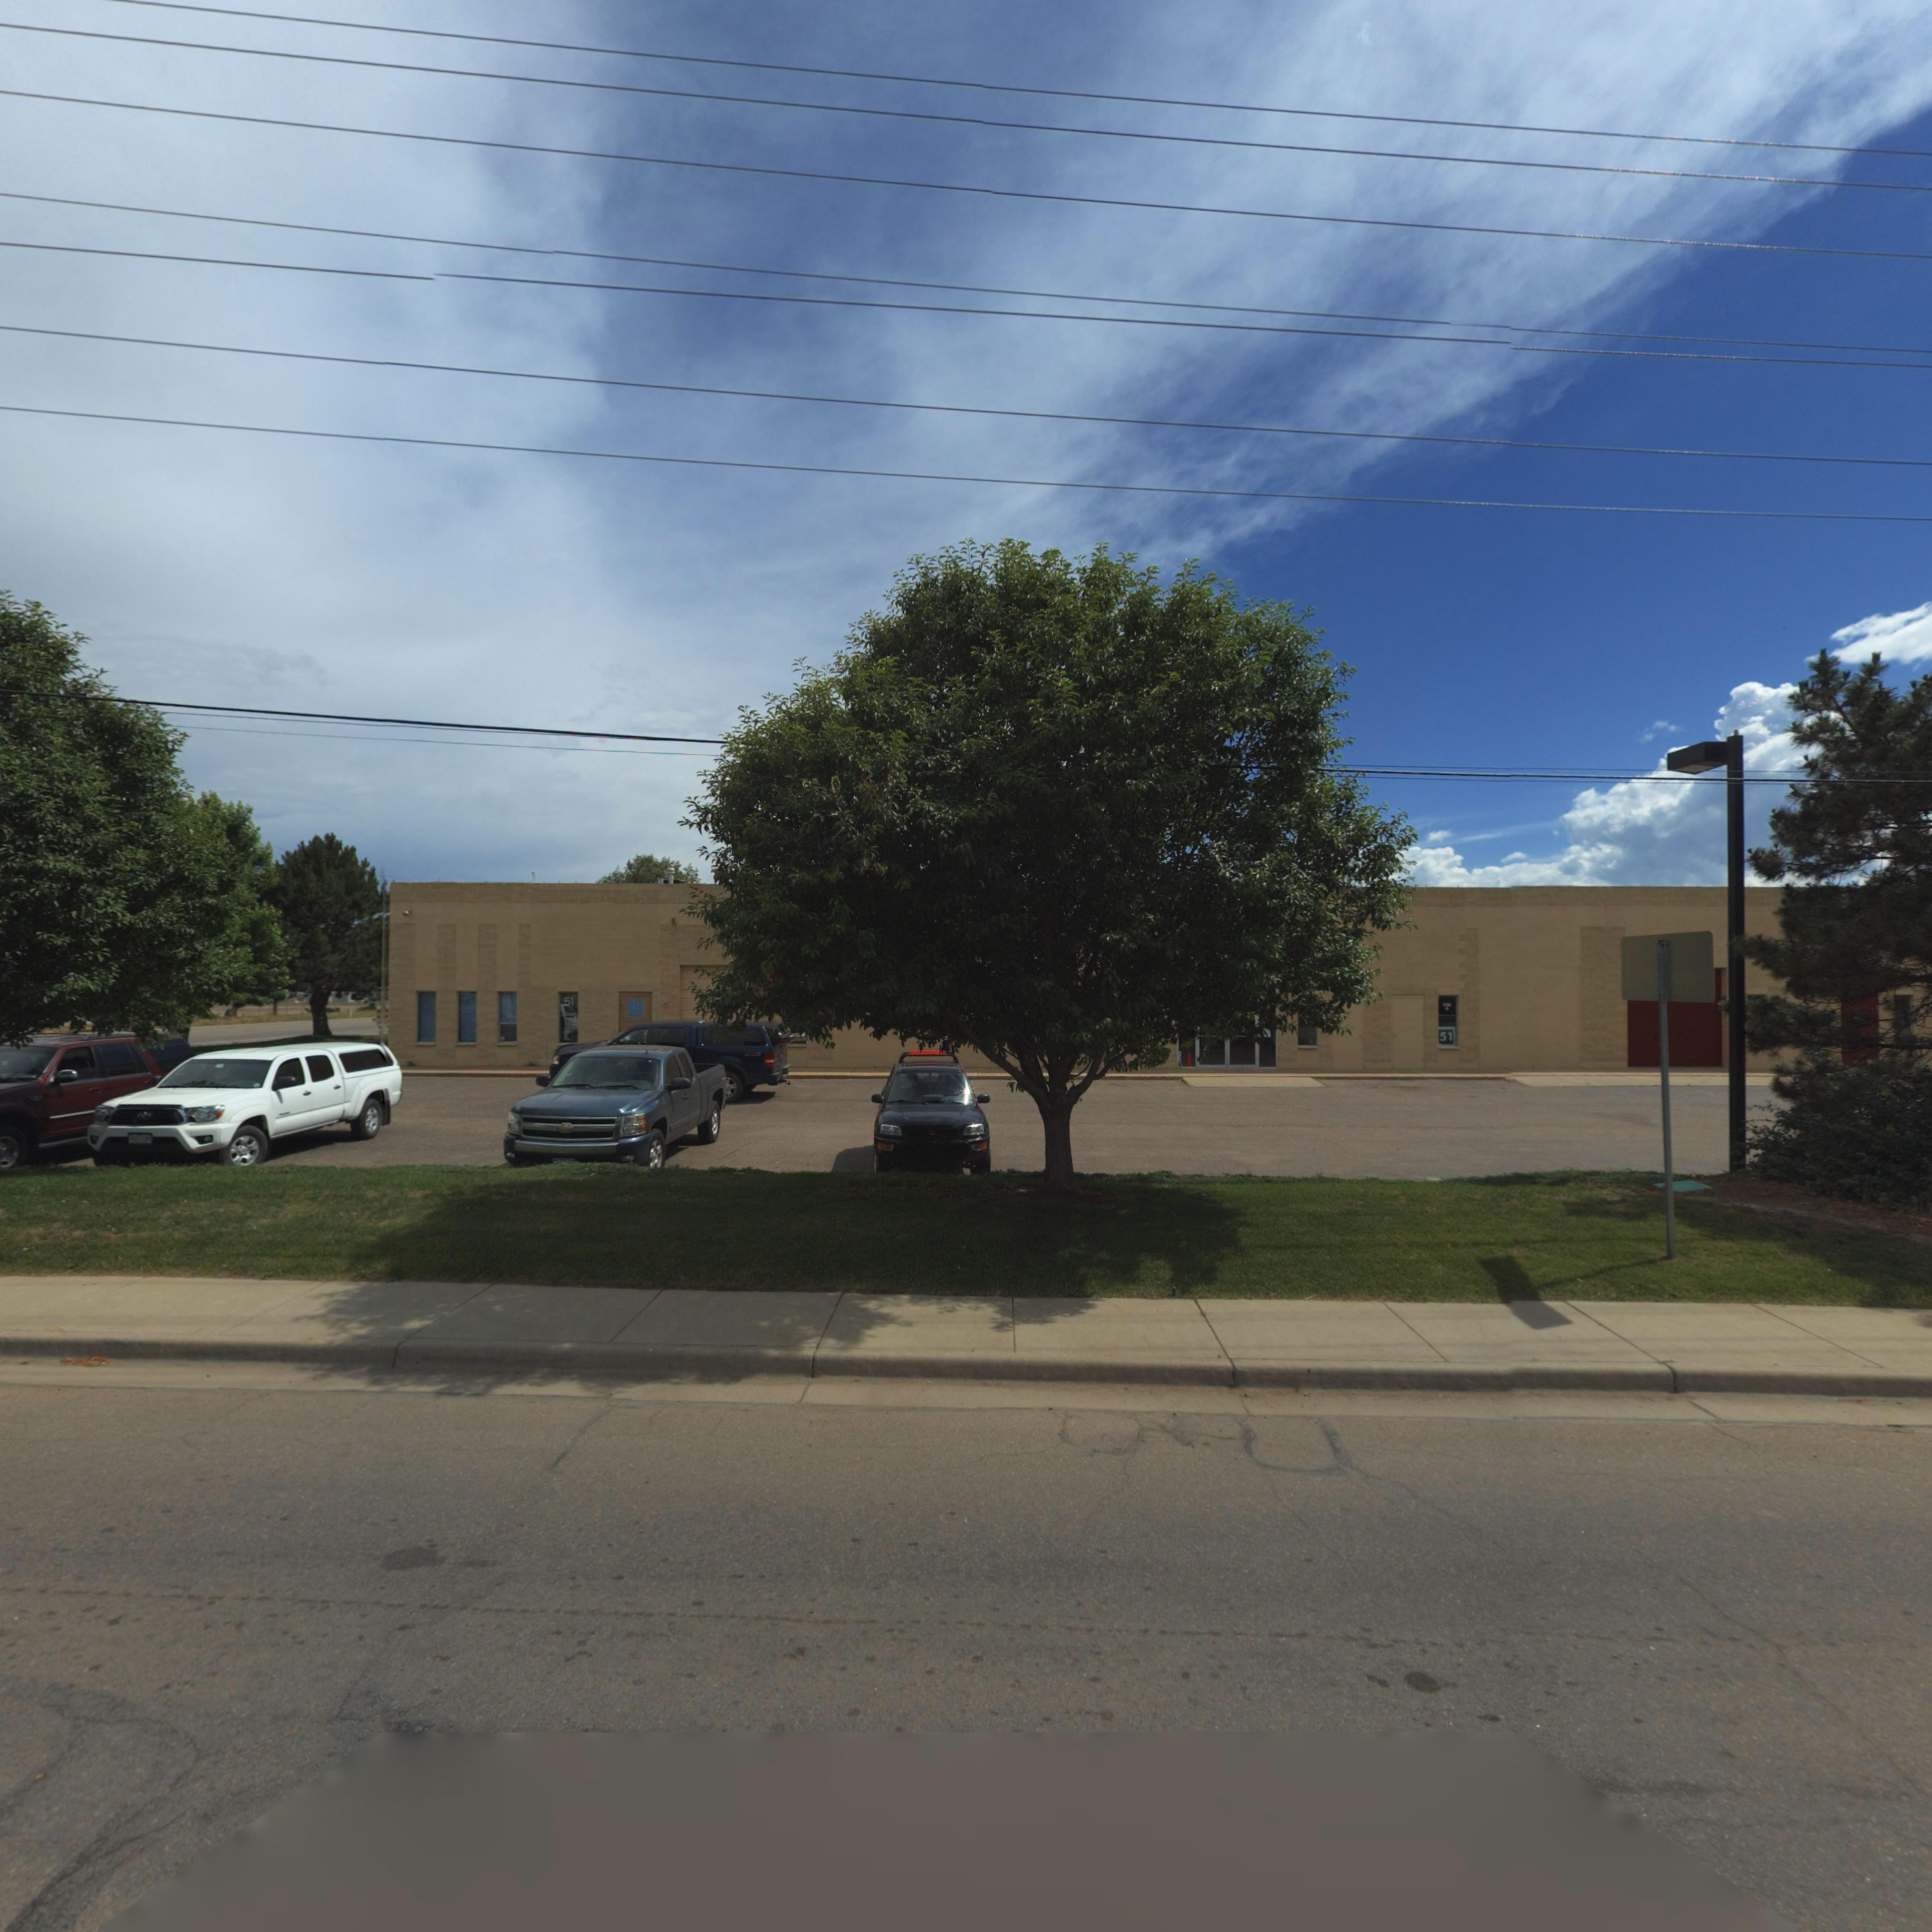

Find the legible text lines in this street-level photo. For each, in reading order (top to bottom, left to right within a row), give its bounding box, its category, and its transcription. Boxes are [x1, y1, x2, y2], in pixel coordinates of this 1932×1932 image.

[564, 997, 573, 1006] StreetNumber: 51
[1439, 1032, 1452, 1041] StreetNumber: 51